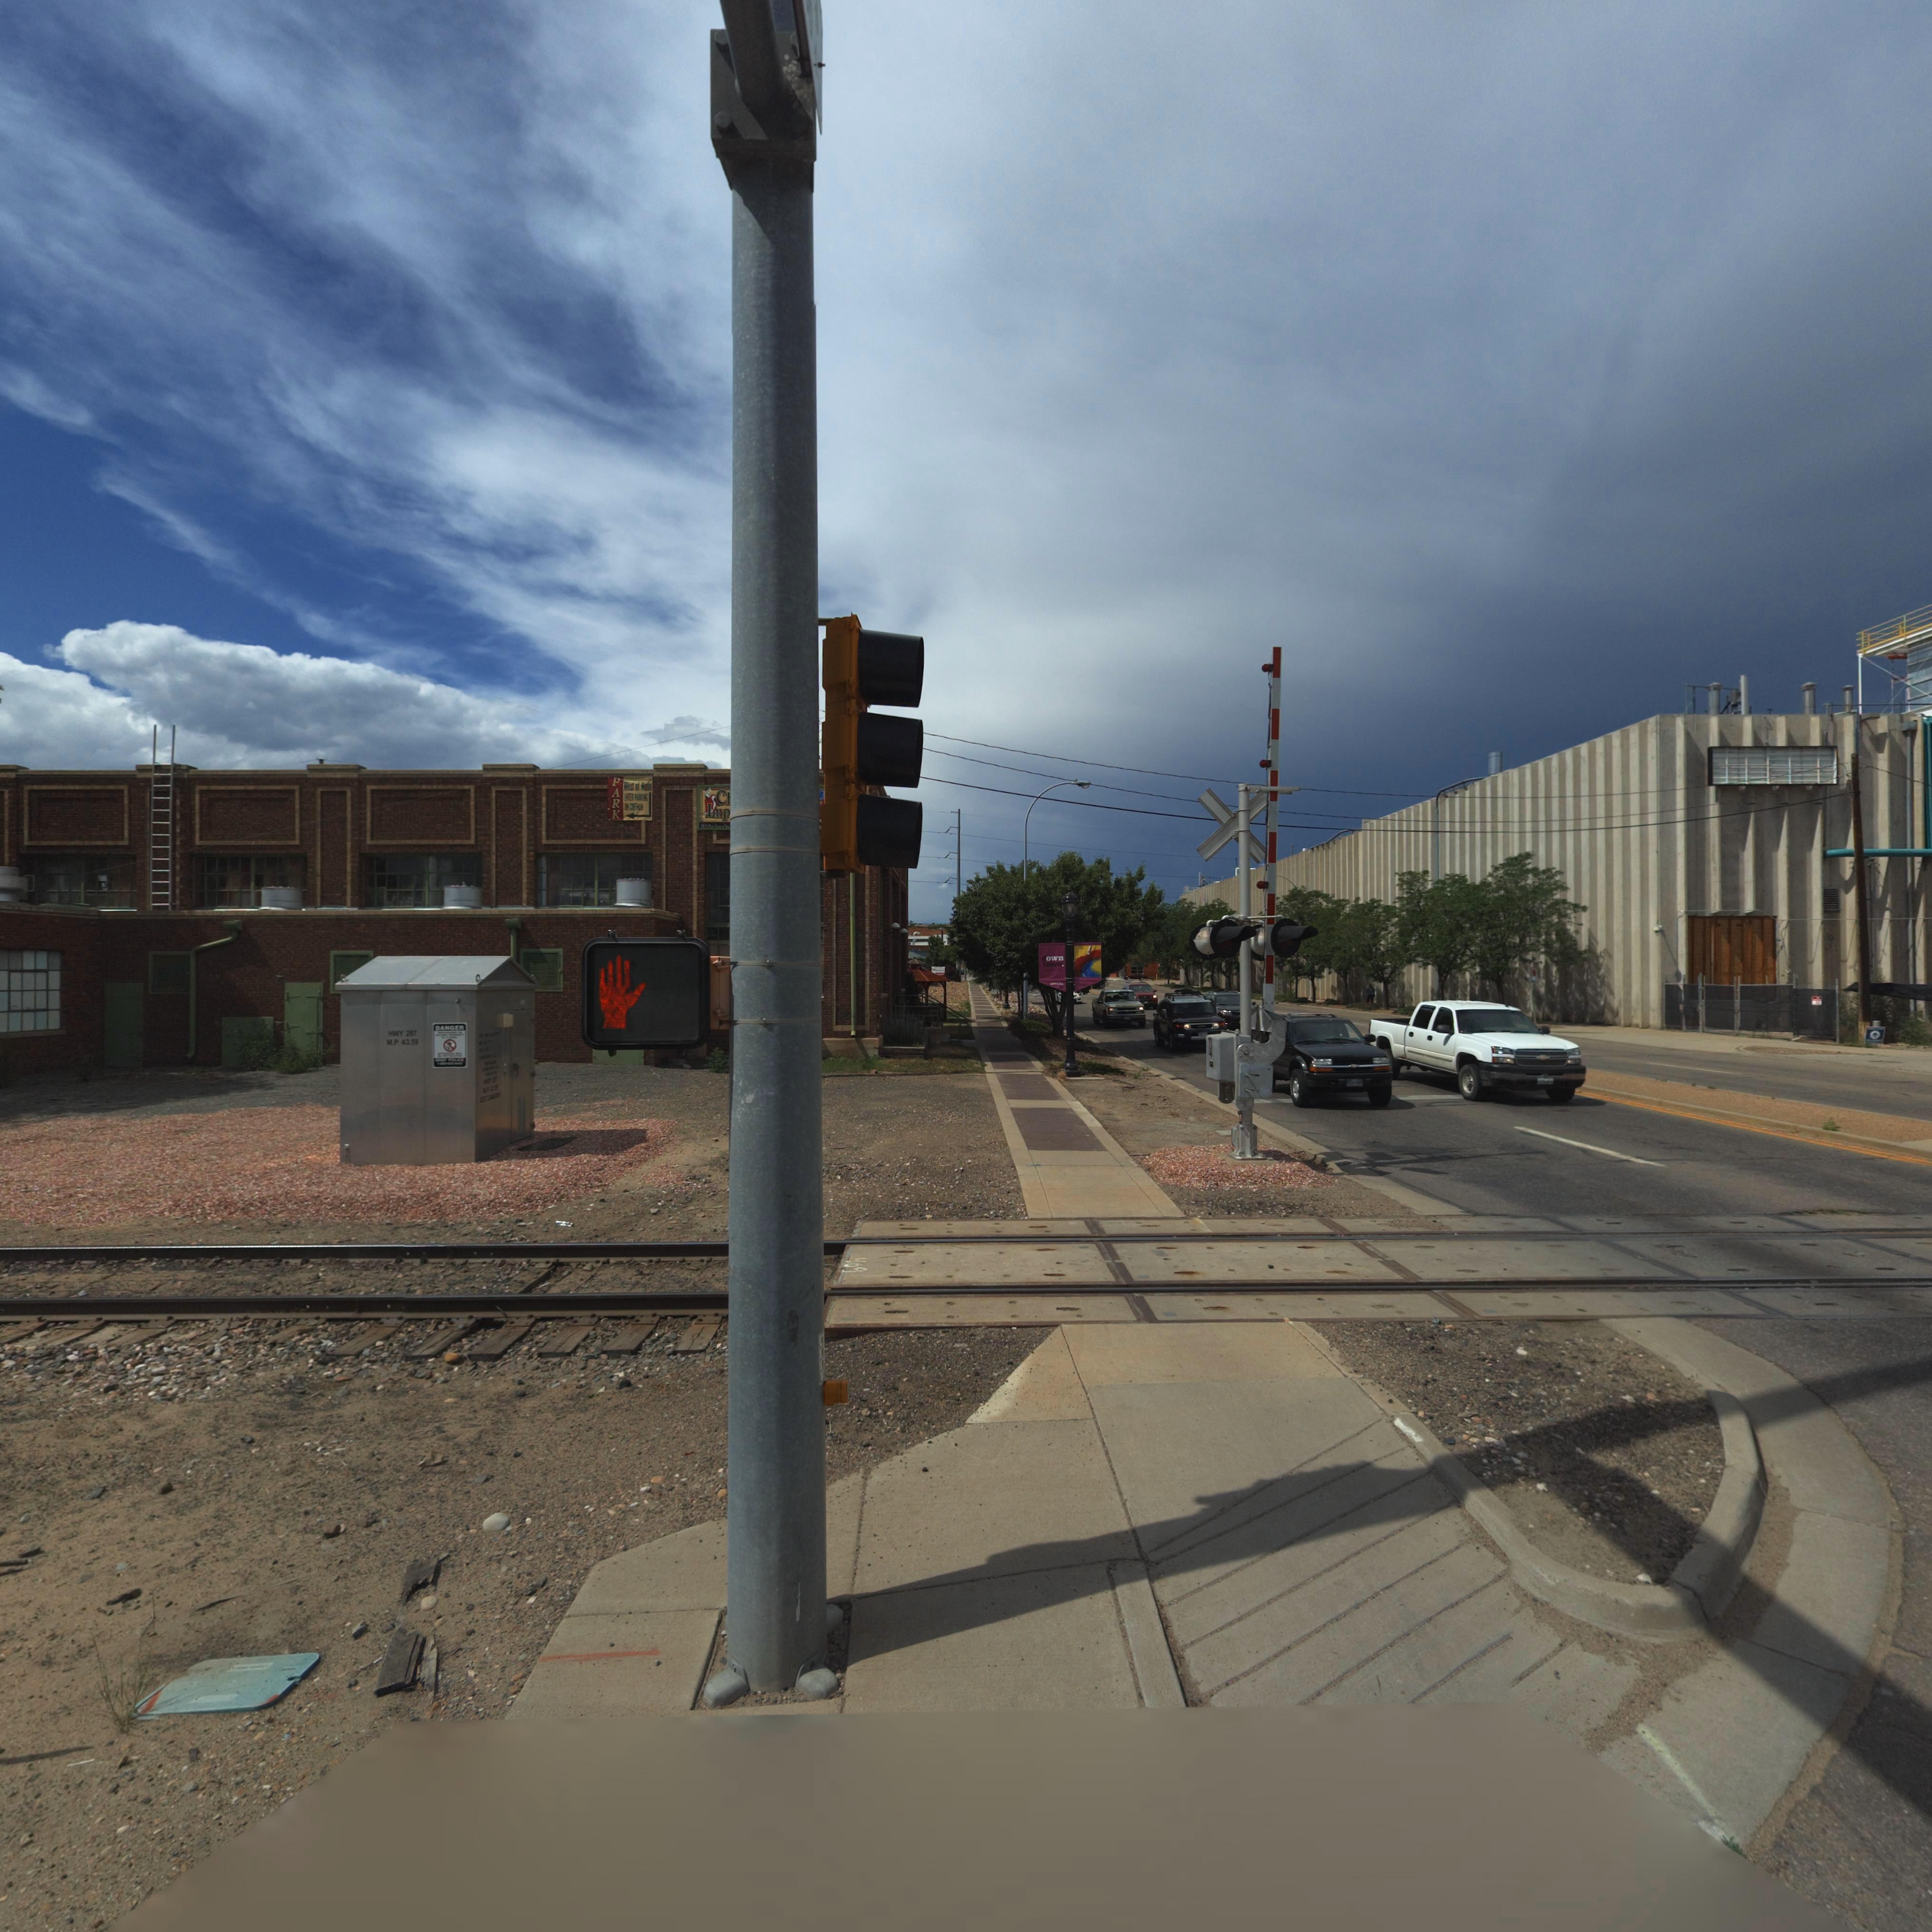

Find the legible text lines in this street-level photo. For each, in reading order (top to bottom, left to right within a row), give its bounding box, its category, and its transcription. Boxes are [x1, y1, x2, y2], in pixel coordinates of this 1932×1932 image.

[715, 789, 726, 806] BusinessName: C
[706, 802, 731, 821] BusinessName: Imp